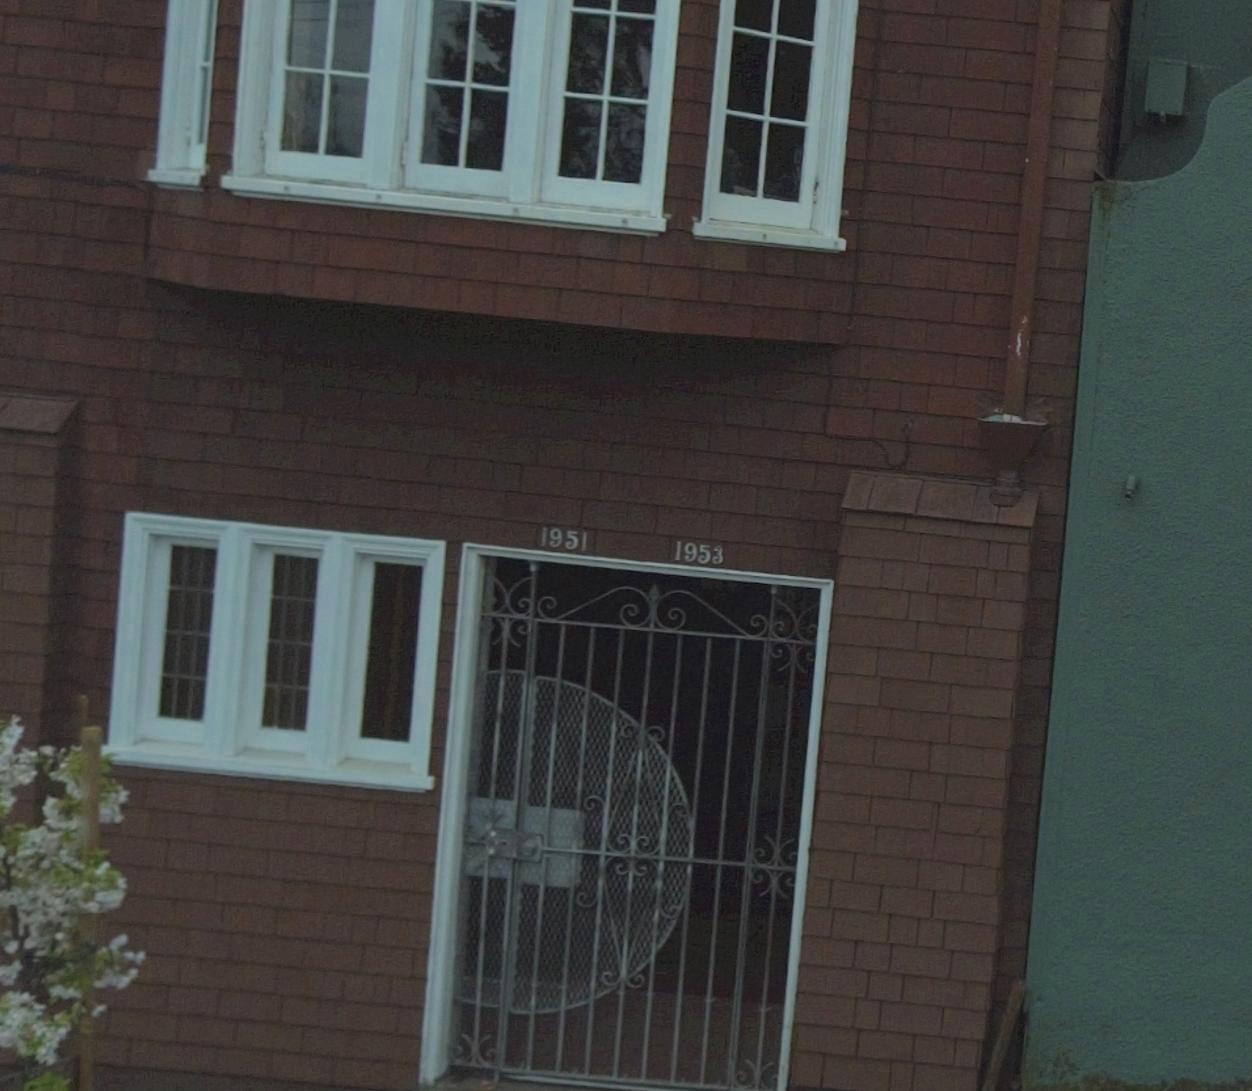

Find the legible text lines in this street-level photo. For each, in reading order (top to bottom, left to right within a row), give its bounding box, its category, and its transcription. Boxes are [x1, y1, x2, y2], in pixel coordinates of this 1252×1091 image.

[538, 524, 589, 553] StreetNumber: 1951
[673, 538, 725, 566] StreetNumber: 1953